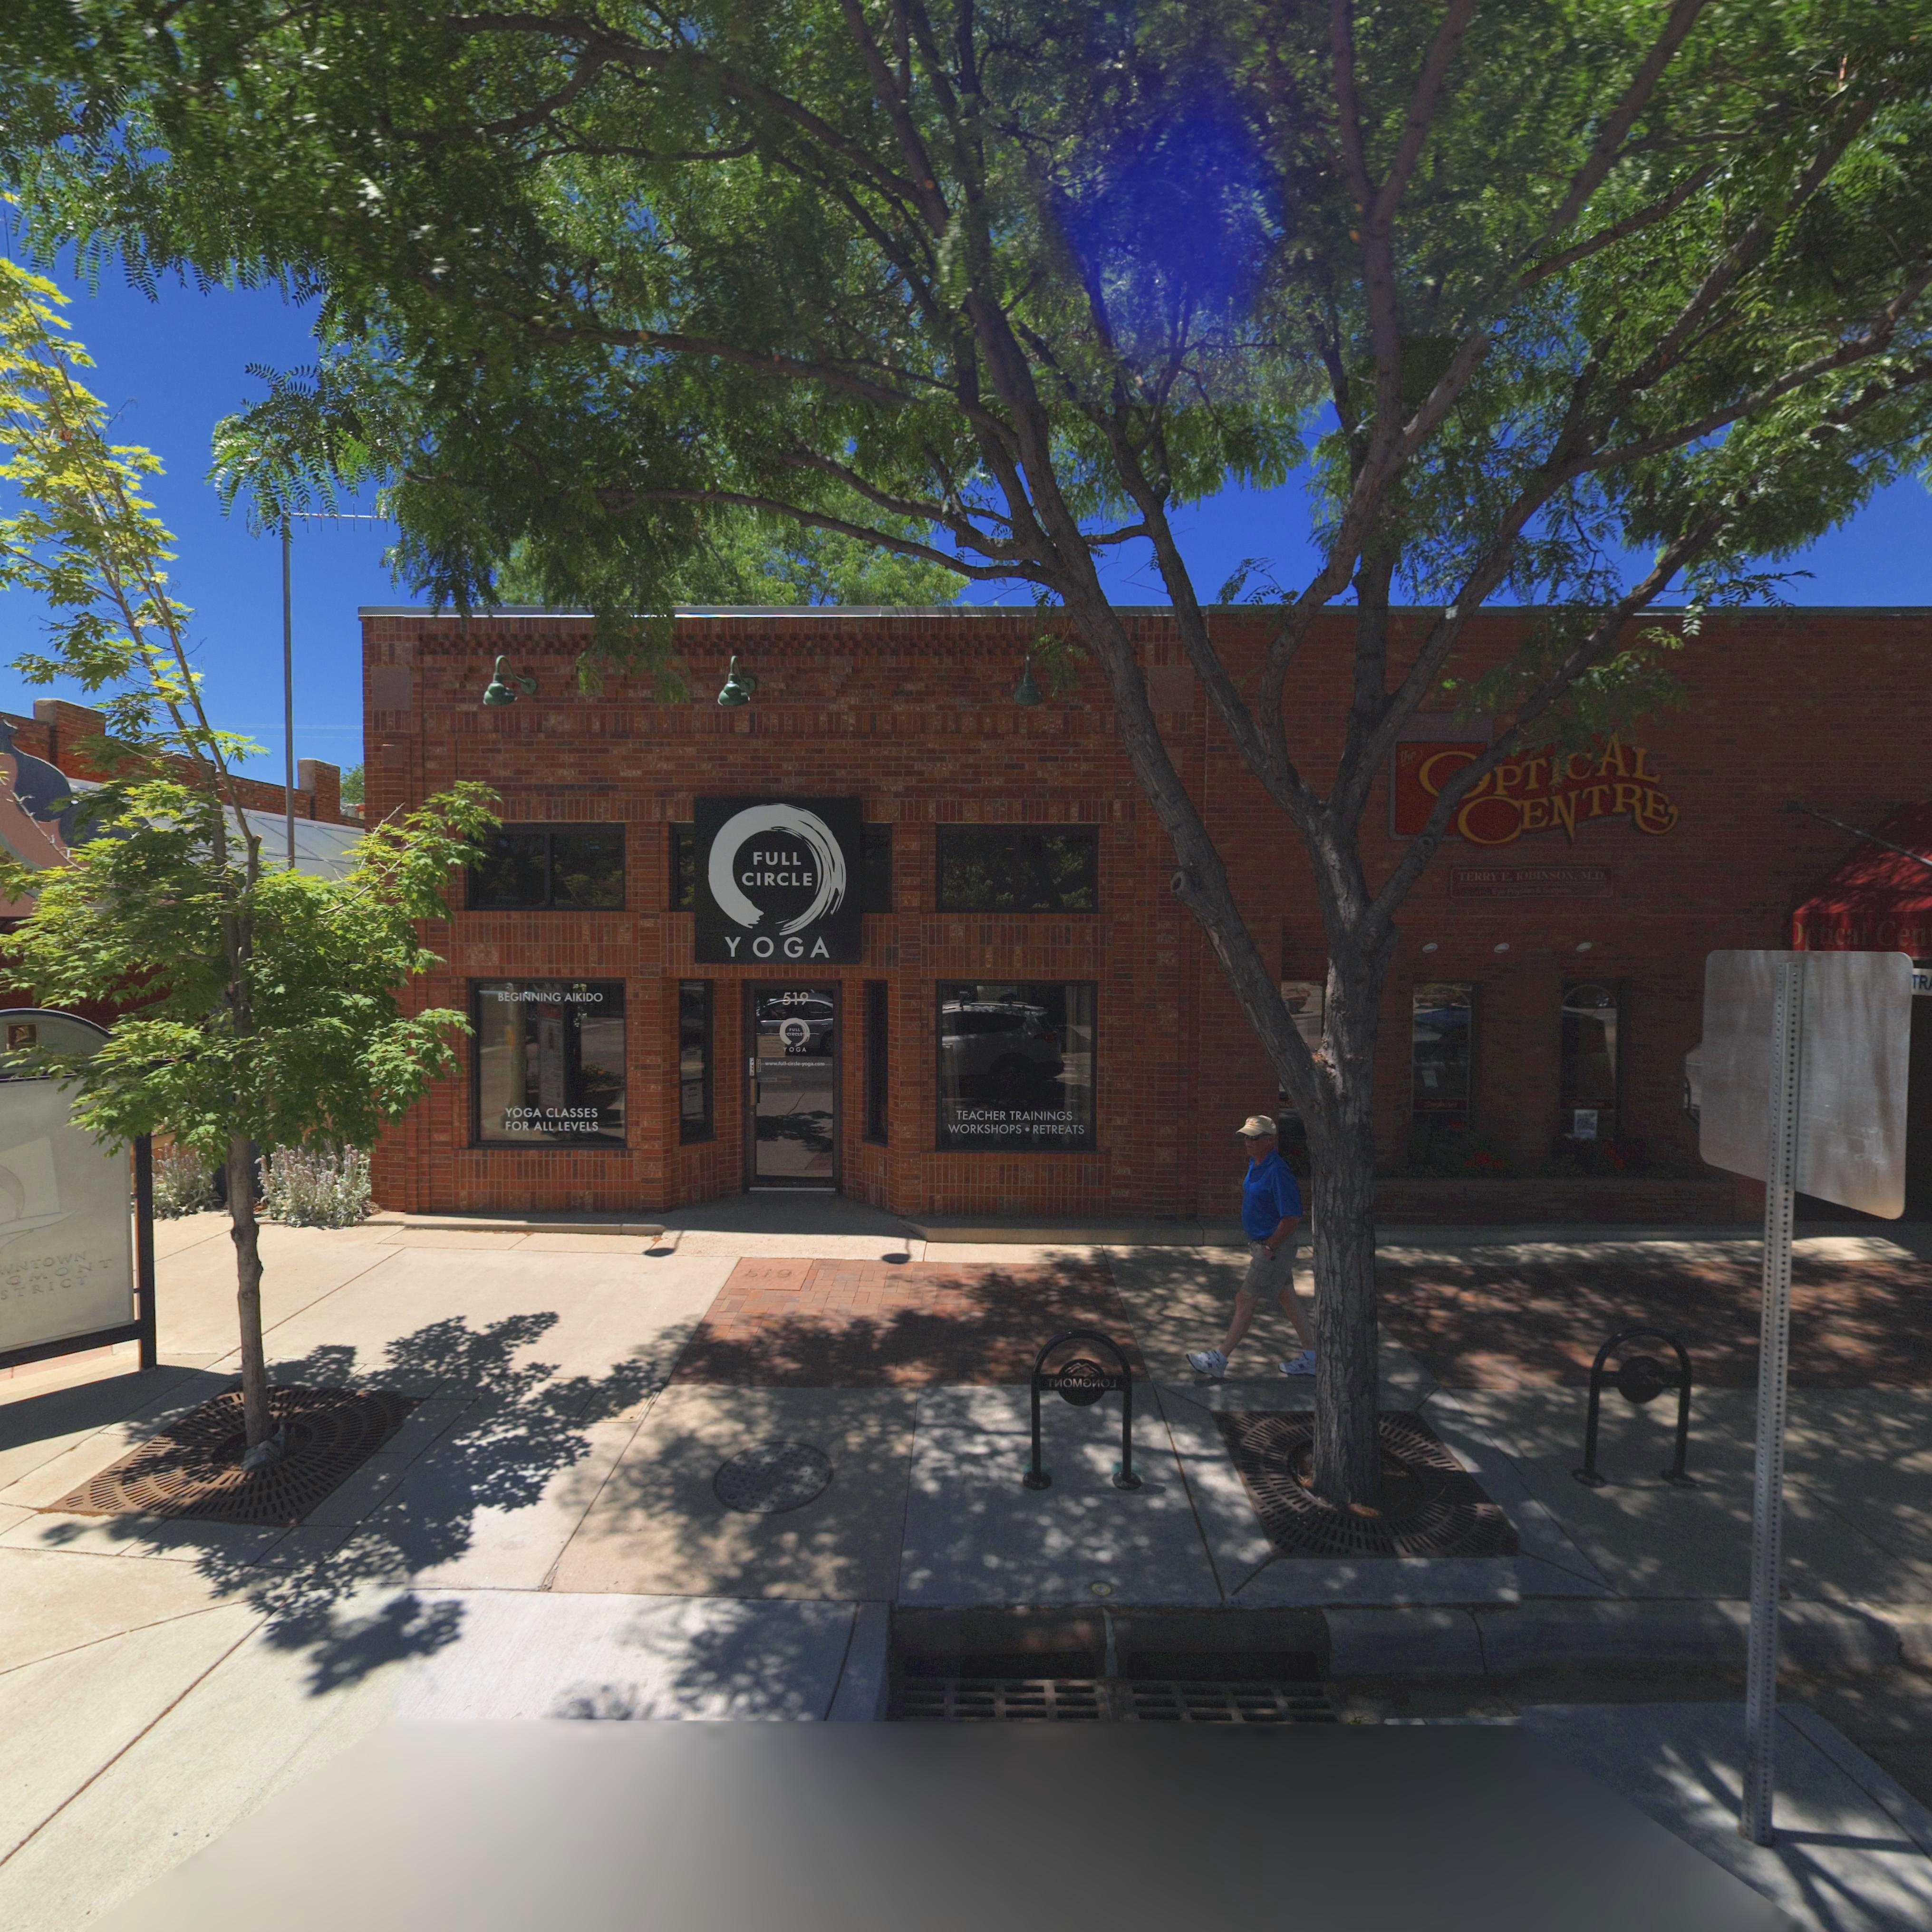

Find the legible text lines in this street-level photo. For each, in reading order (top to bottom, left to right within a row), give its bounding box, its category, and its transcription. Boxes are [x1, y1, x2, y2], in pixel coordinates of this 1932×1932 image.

[1492, 729, 1663, 796] BusinessName: PT*CAL
[1456, 781, 1680, 846] BusinessName: CENTRE
[753, 850, 802, 865] BusinessName: FULL
[740, 871, 812, 887] BusinessName: CIRCLE
[1785, 919, 1929, 953] BusinessName: Optical Cen
[723, 935, 831, 958] BusinessName: YOGA
[782, 991, 809, 1005] StreetNumber: 519
[789, 1027, 800, 1032] BusinessName: FULL
[786, 1032, 802, 1036] BusinessName: CIRCLE
[782, 1046, 806, 1052] BusinessName: YOGA
[744, 1267, 793, 1278] StreetNumber: 519